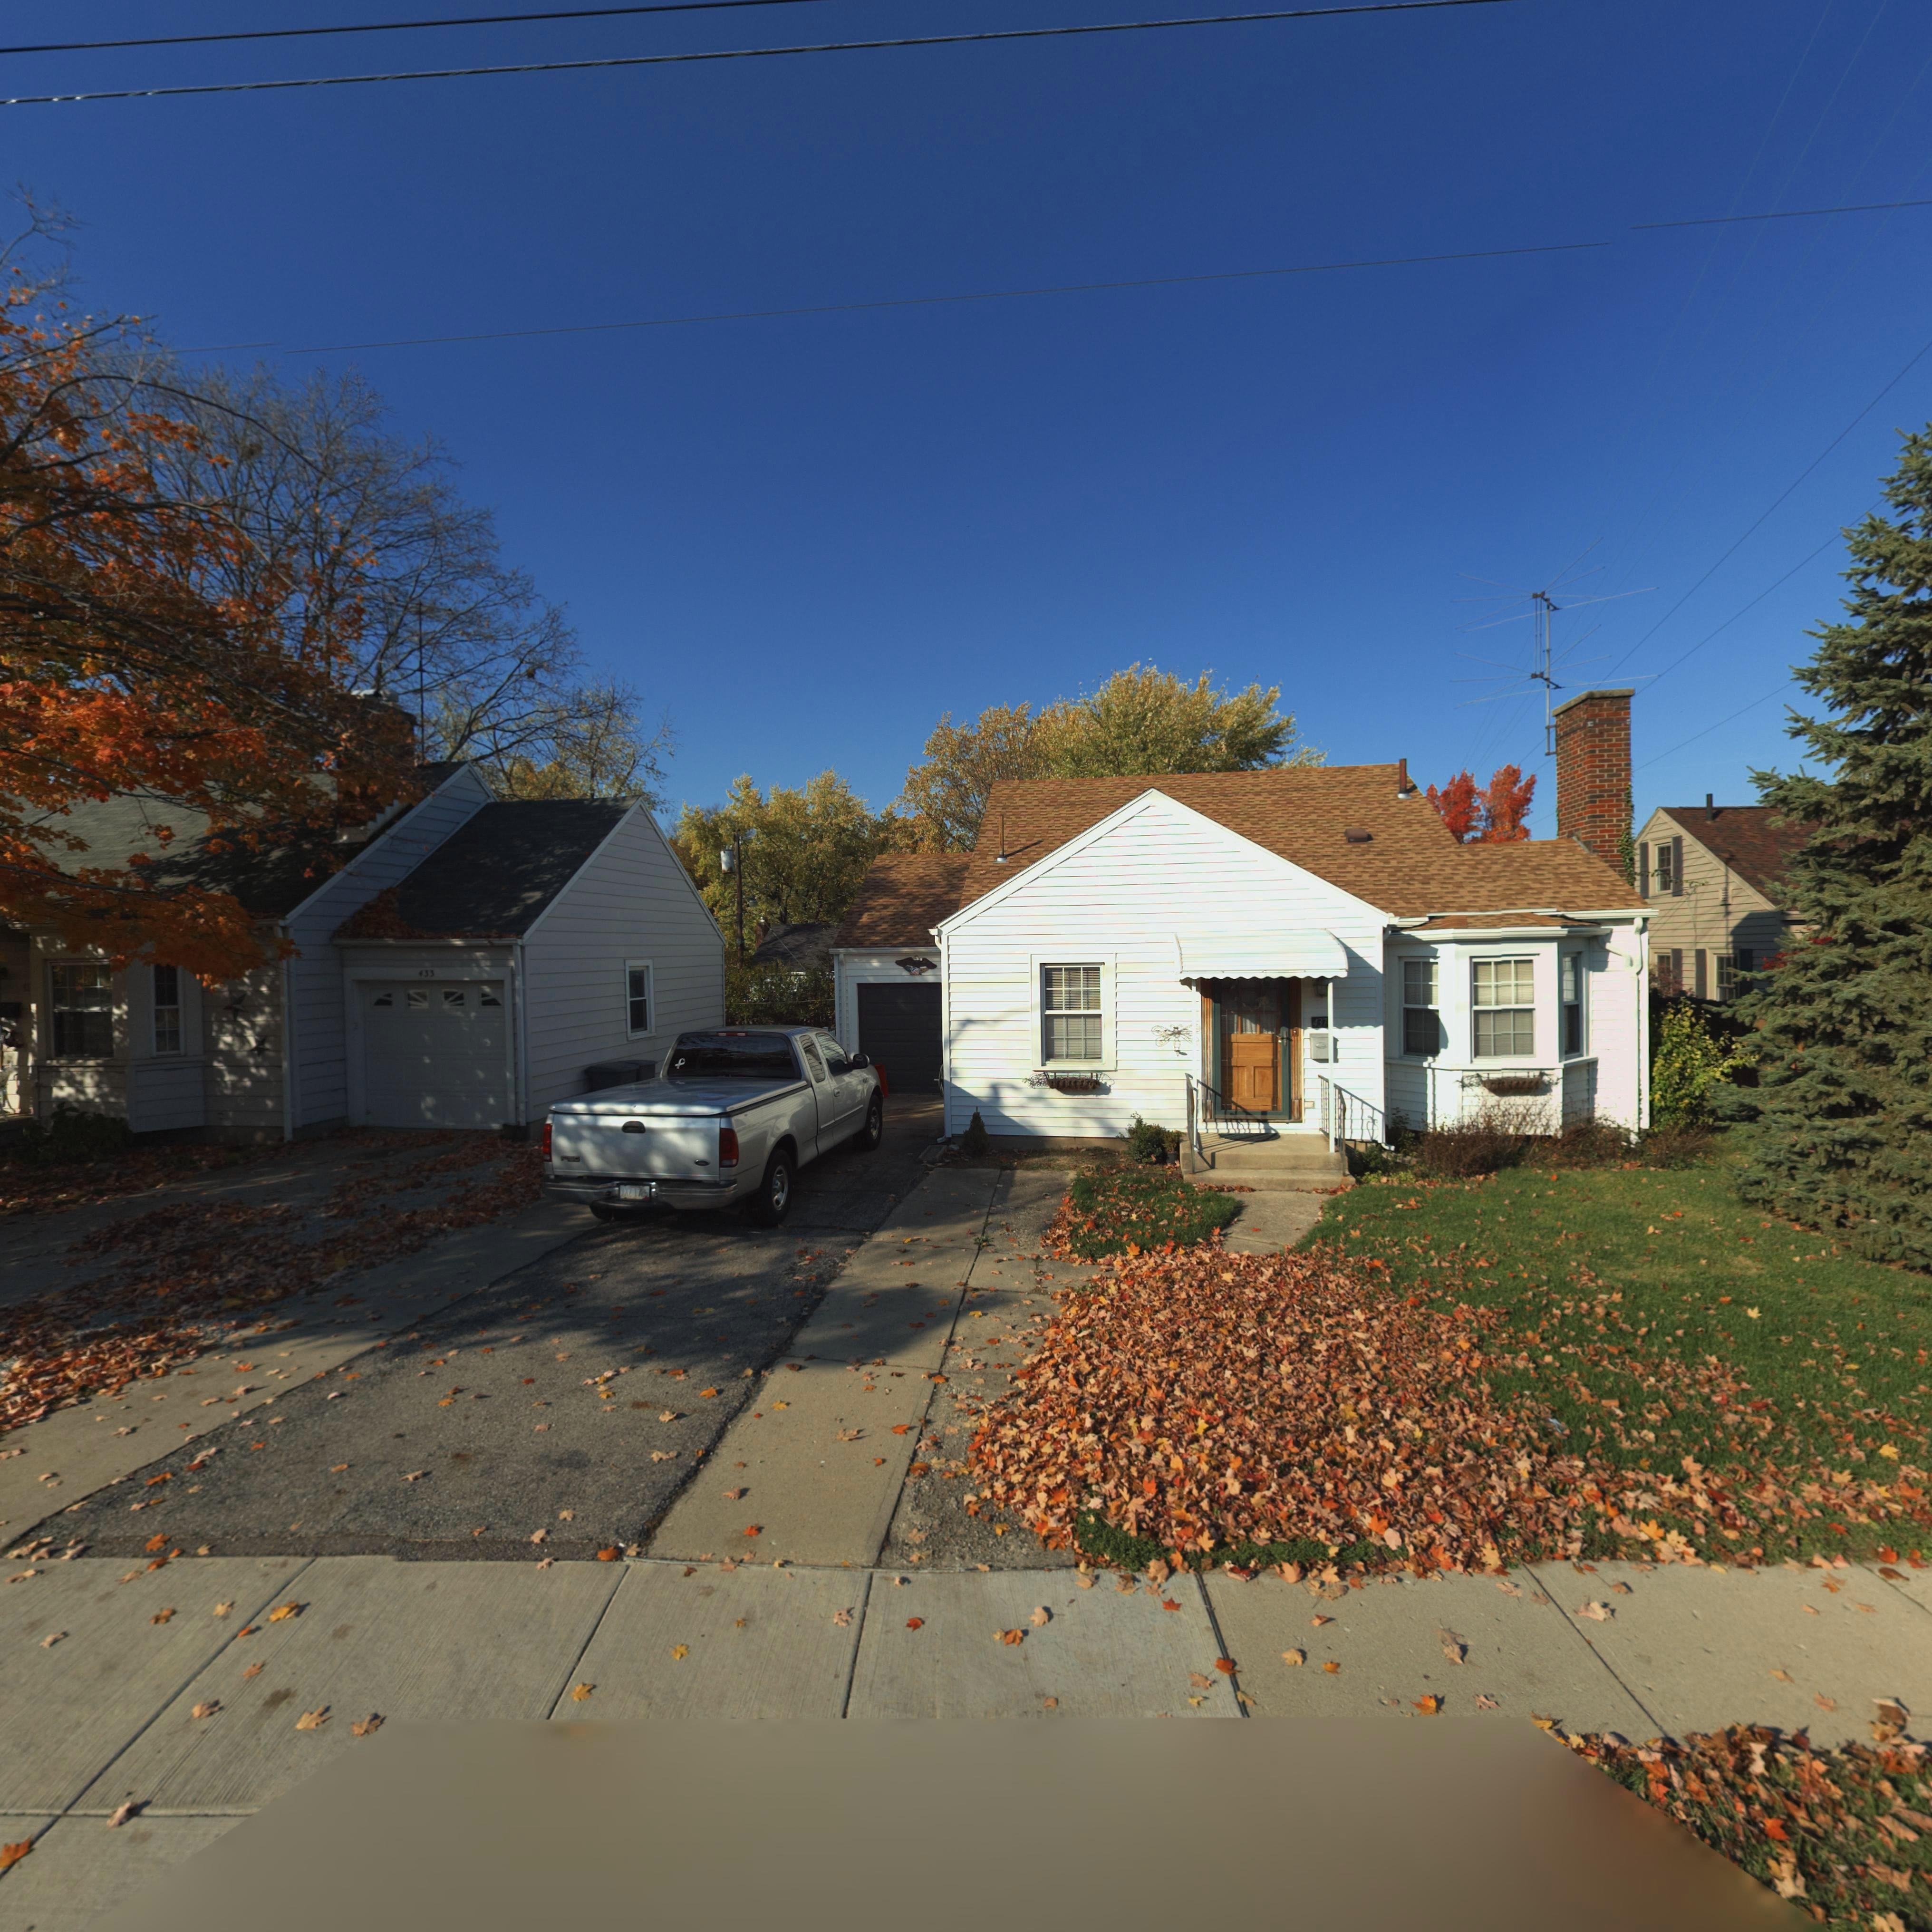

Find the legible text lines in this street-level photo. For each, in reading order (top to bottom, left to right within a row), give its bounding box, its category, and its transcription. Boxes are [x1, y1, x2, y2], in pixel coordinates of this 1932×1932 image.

[417, 969, 435, 978] StreetNumber: 433
[1312, 1017, 1328, 1027] StreetNumber: 437